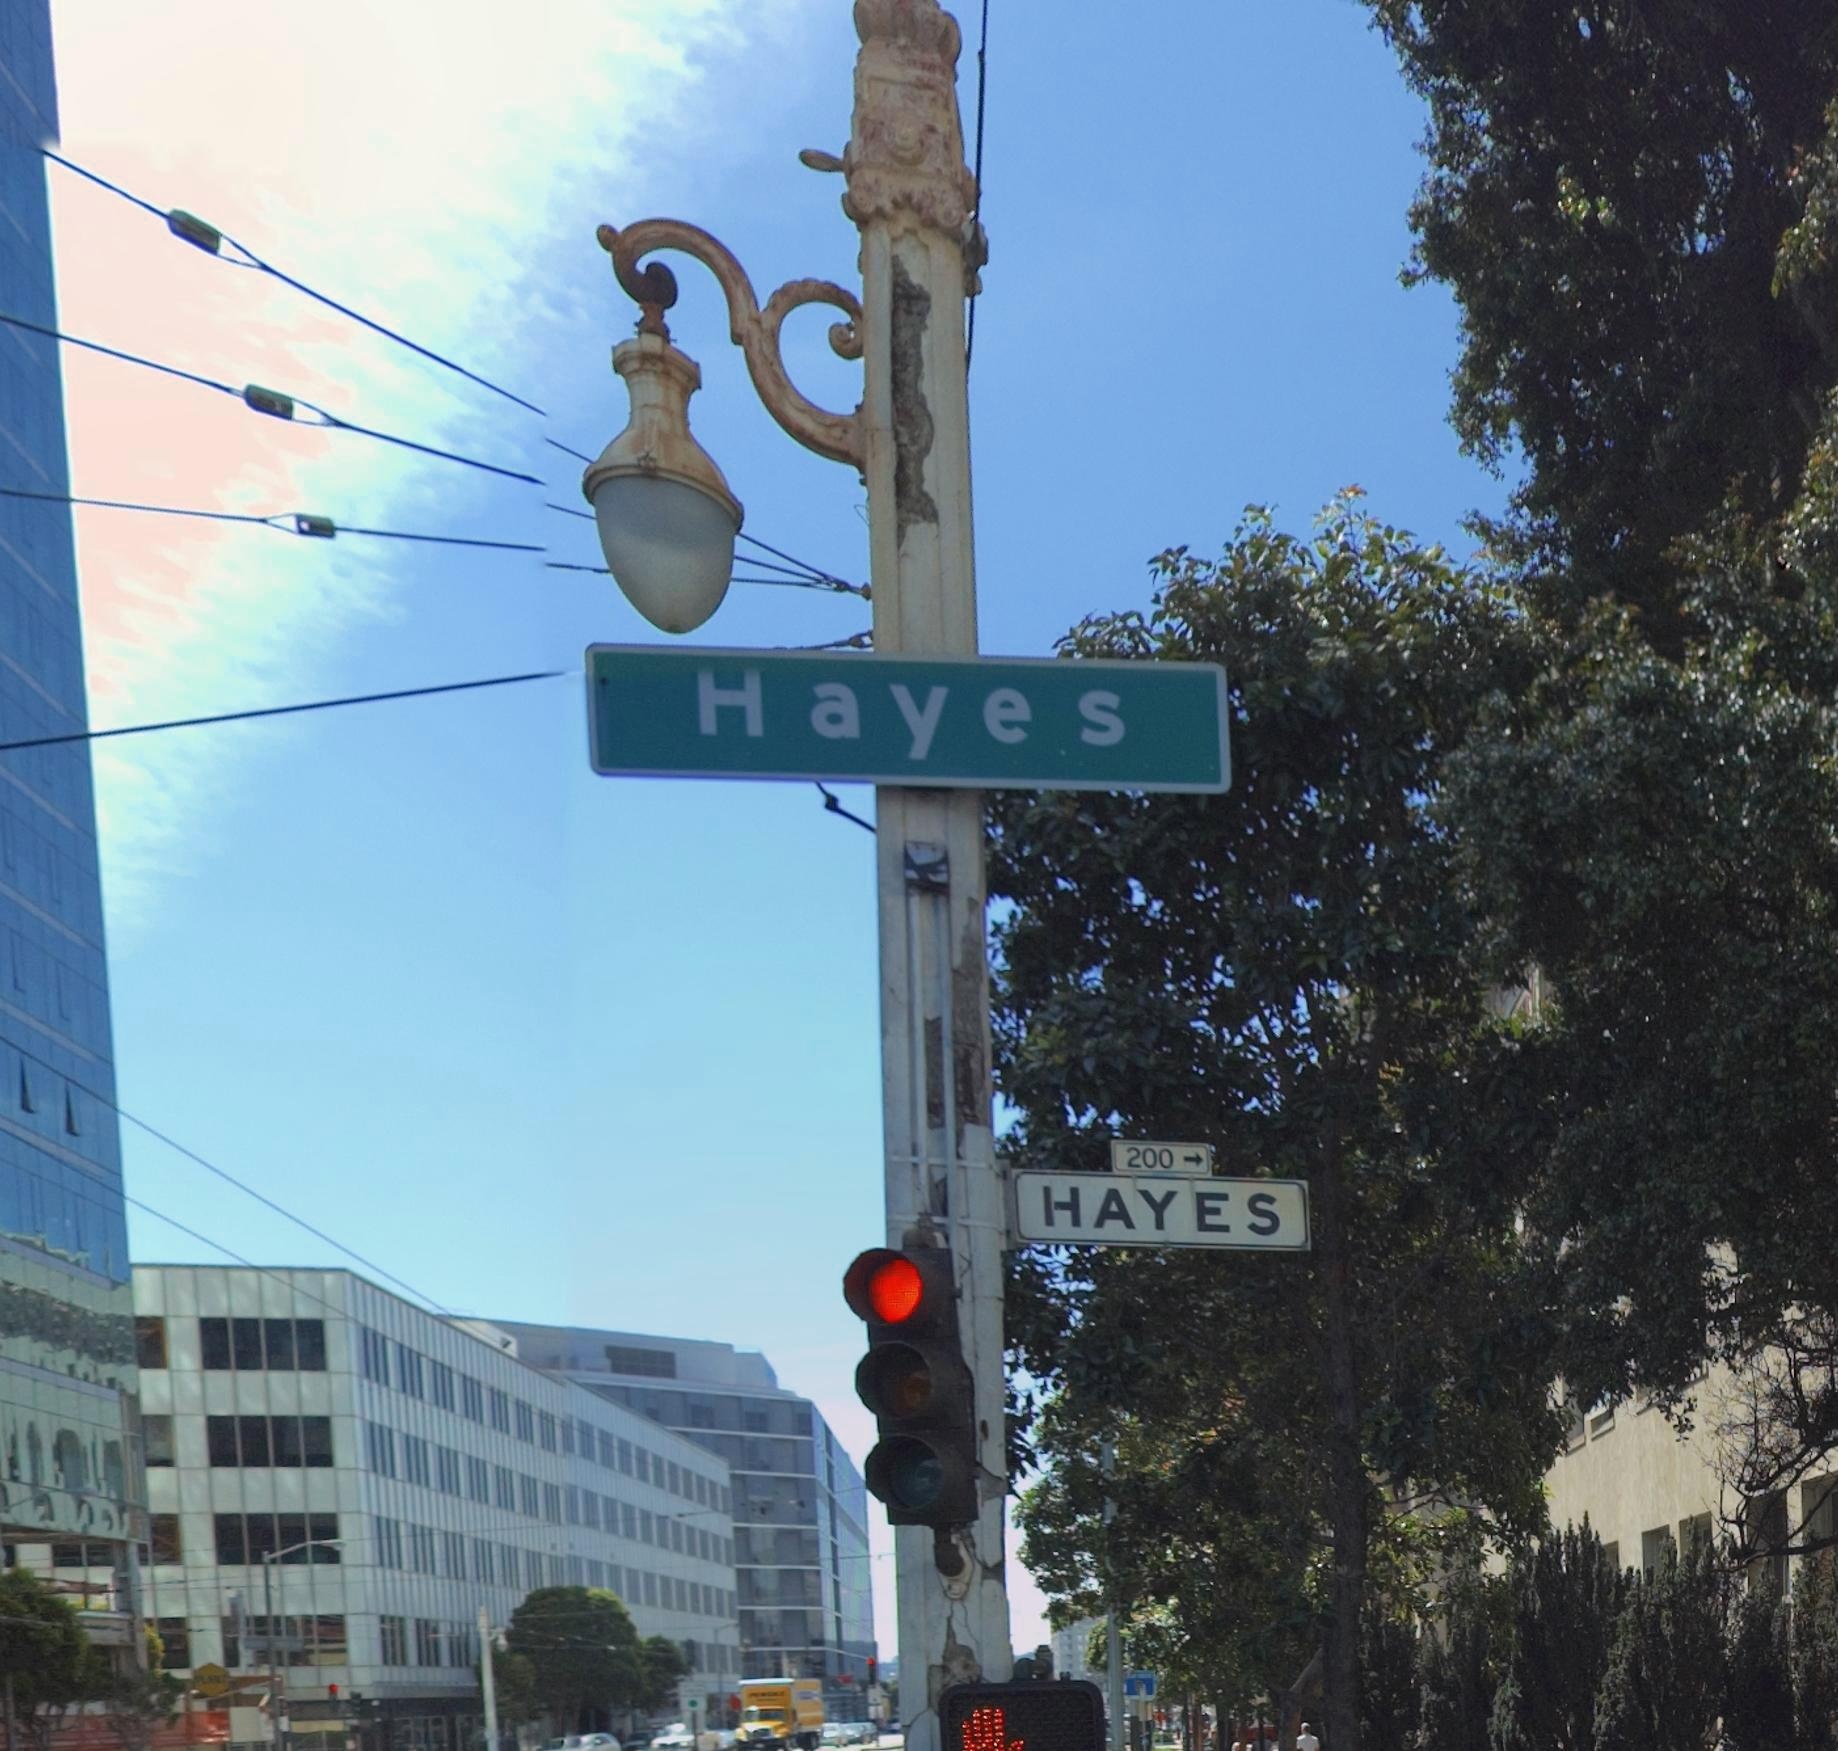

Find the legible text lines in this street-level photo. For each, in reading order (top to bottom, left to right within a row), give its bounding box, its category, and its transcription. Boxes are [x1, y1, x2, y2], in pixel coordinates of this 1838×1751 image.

[671, 658, 1140, 769] StreetName: Hayes
[1123, 1144, 1205, 1171] StreetNumberRange: 200->
[1035, 1182, 1286, 1241] StreetName: HAYES